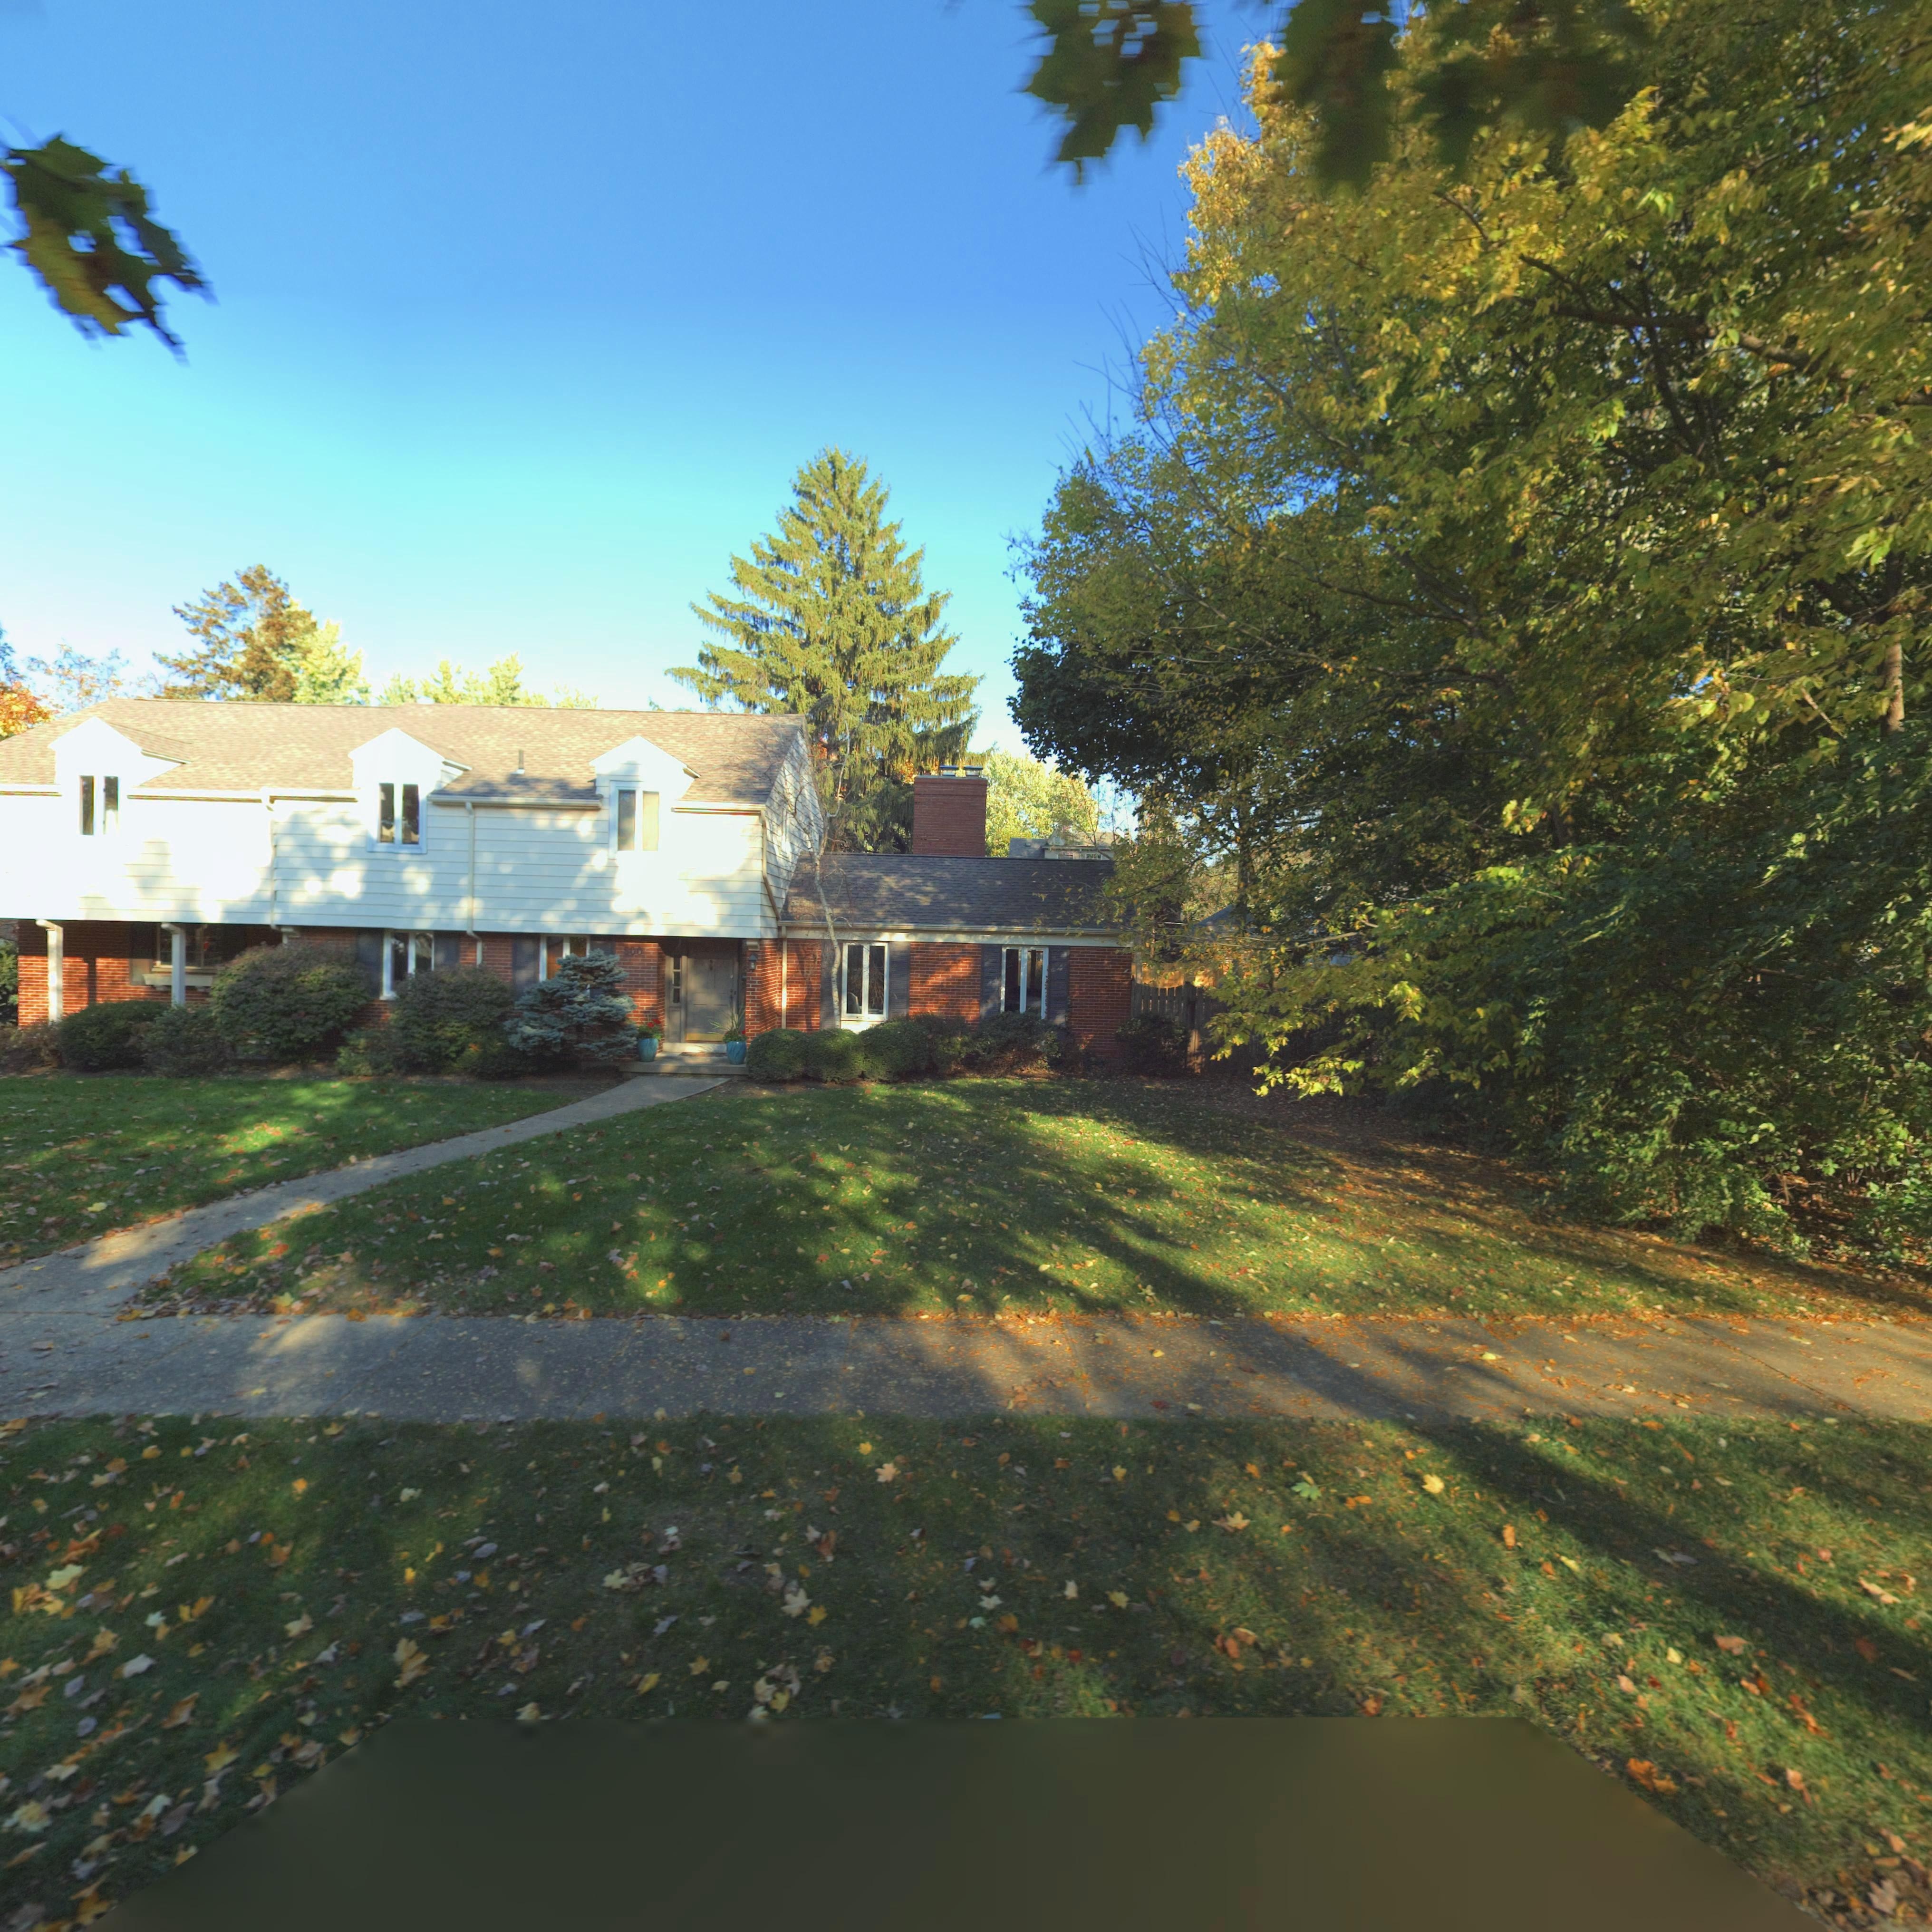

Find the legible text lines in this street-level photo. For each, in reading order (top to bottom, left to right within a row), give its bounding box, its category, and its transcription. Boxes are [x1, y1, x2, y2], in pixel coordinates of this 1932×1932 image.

[623, 946, 643, 956] StreetNumber: 500